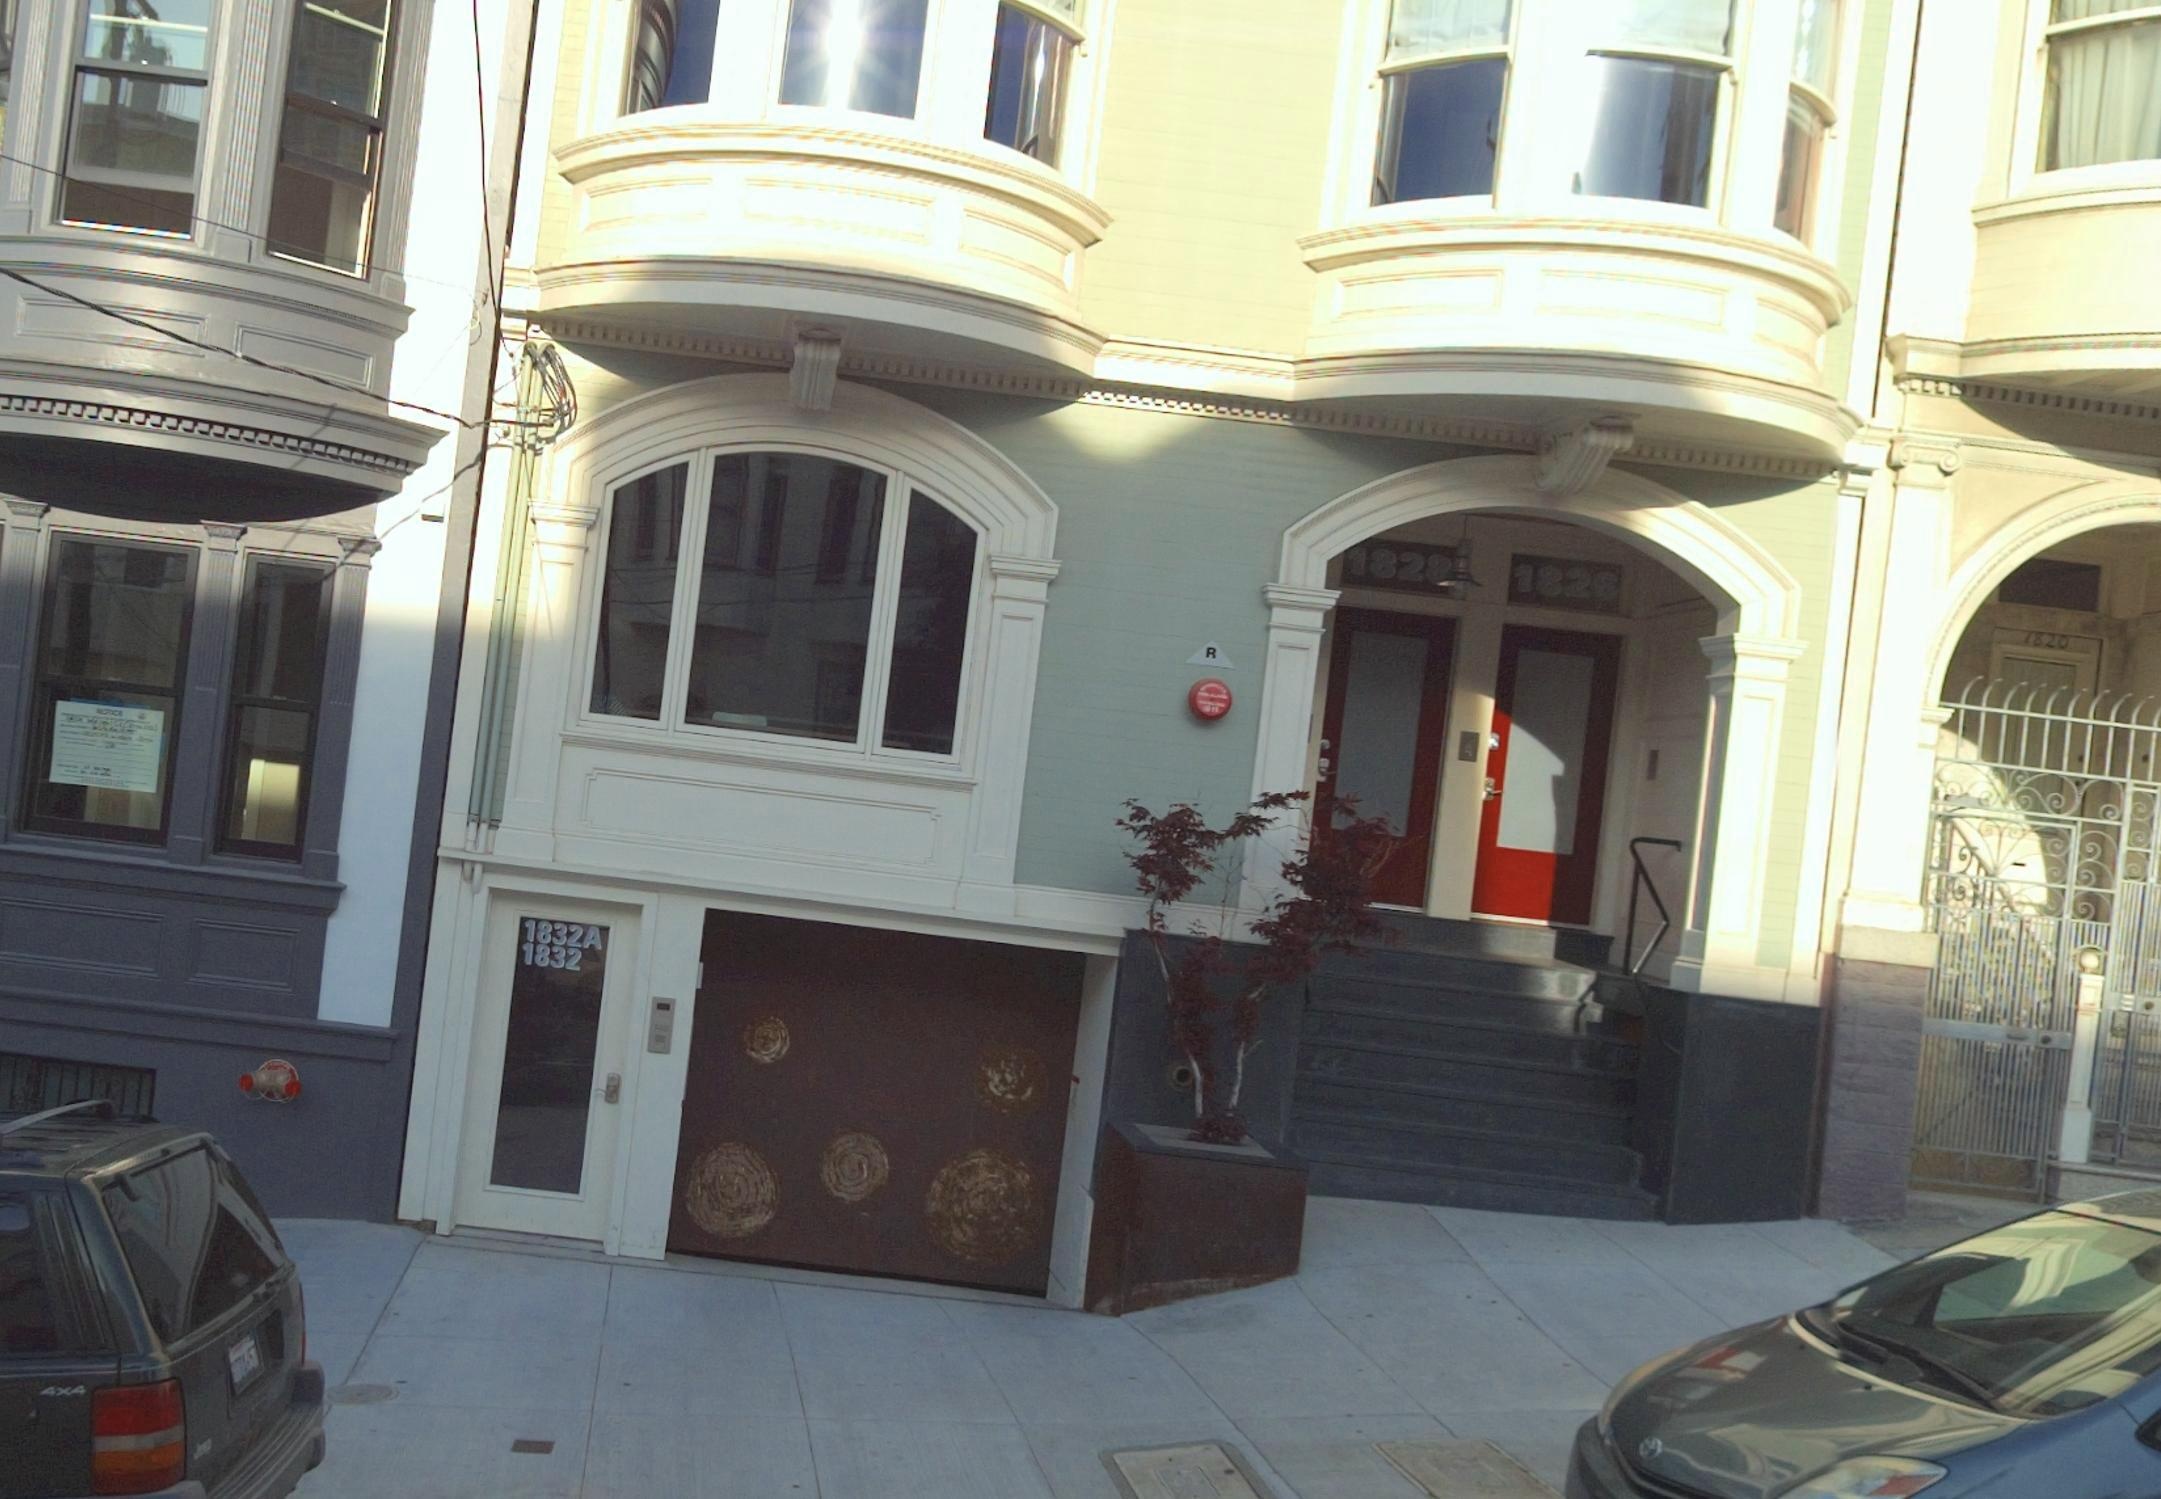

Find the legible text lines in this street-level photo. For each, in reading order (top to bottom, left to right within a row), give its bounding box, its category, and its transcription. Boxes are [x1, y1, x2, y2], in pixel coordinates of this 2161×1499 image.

[1345, 542, 1454, 588] StreetNumber: 1828
[1511, 559, 1623, 604] StreetNumber: 1826
[1204, 644, 1218, 661] None: R
[523, 918, 604, 952] StreetNumber: 1832A
[520, 941, 583, 972] StreetNumber: 1832